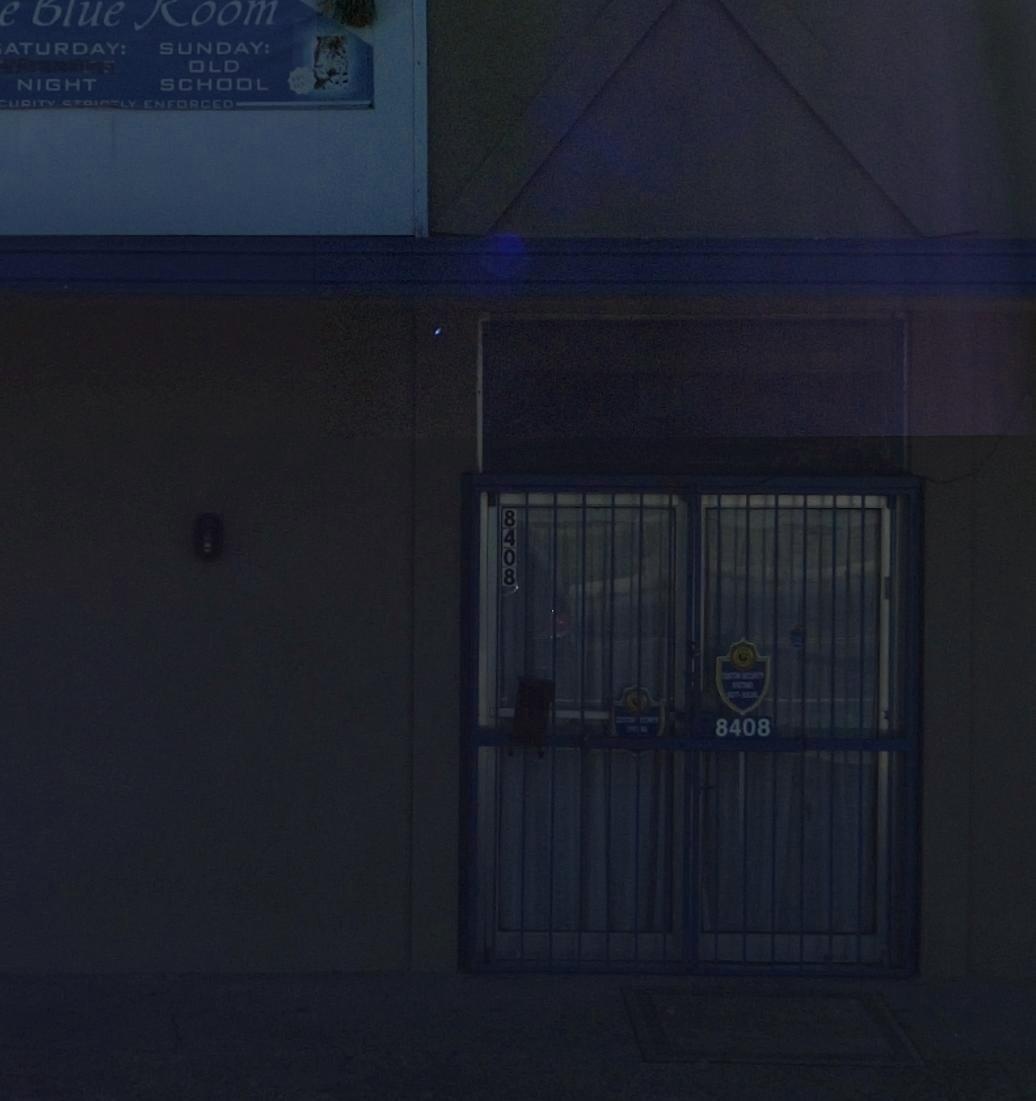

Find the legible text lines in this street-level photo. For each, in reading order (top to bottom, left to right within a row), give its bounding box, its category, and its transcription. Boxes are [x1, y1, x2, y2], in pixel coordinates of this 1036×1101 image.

[0, 0, 283, 28] None: e **ue * oom
[4, 36, 129, 61] None: ATURDAY:
[155, 37, 273, 59] None: SUNDAY:
[184, 57, 243, 76] None: OLD
[14, 74, 102, 99] None: NIGHT
[155, 73, 274, 94] None: SCHOOL
[6, 97, 137, 112] None: U*ITY S*****LY
[140, 95, 237, 111] None: ENFORCED
[500, 507, 519, 589] StreetNumber: 8408
[711, 714, 773, 740] StreetNumber: 8408